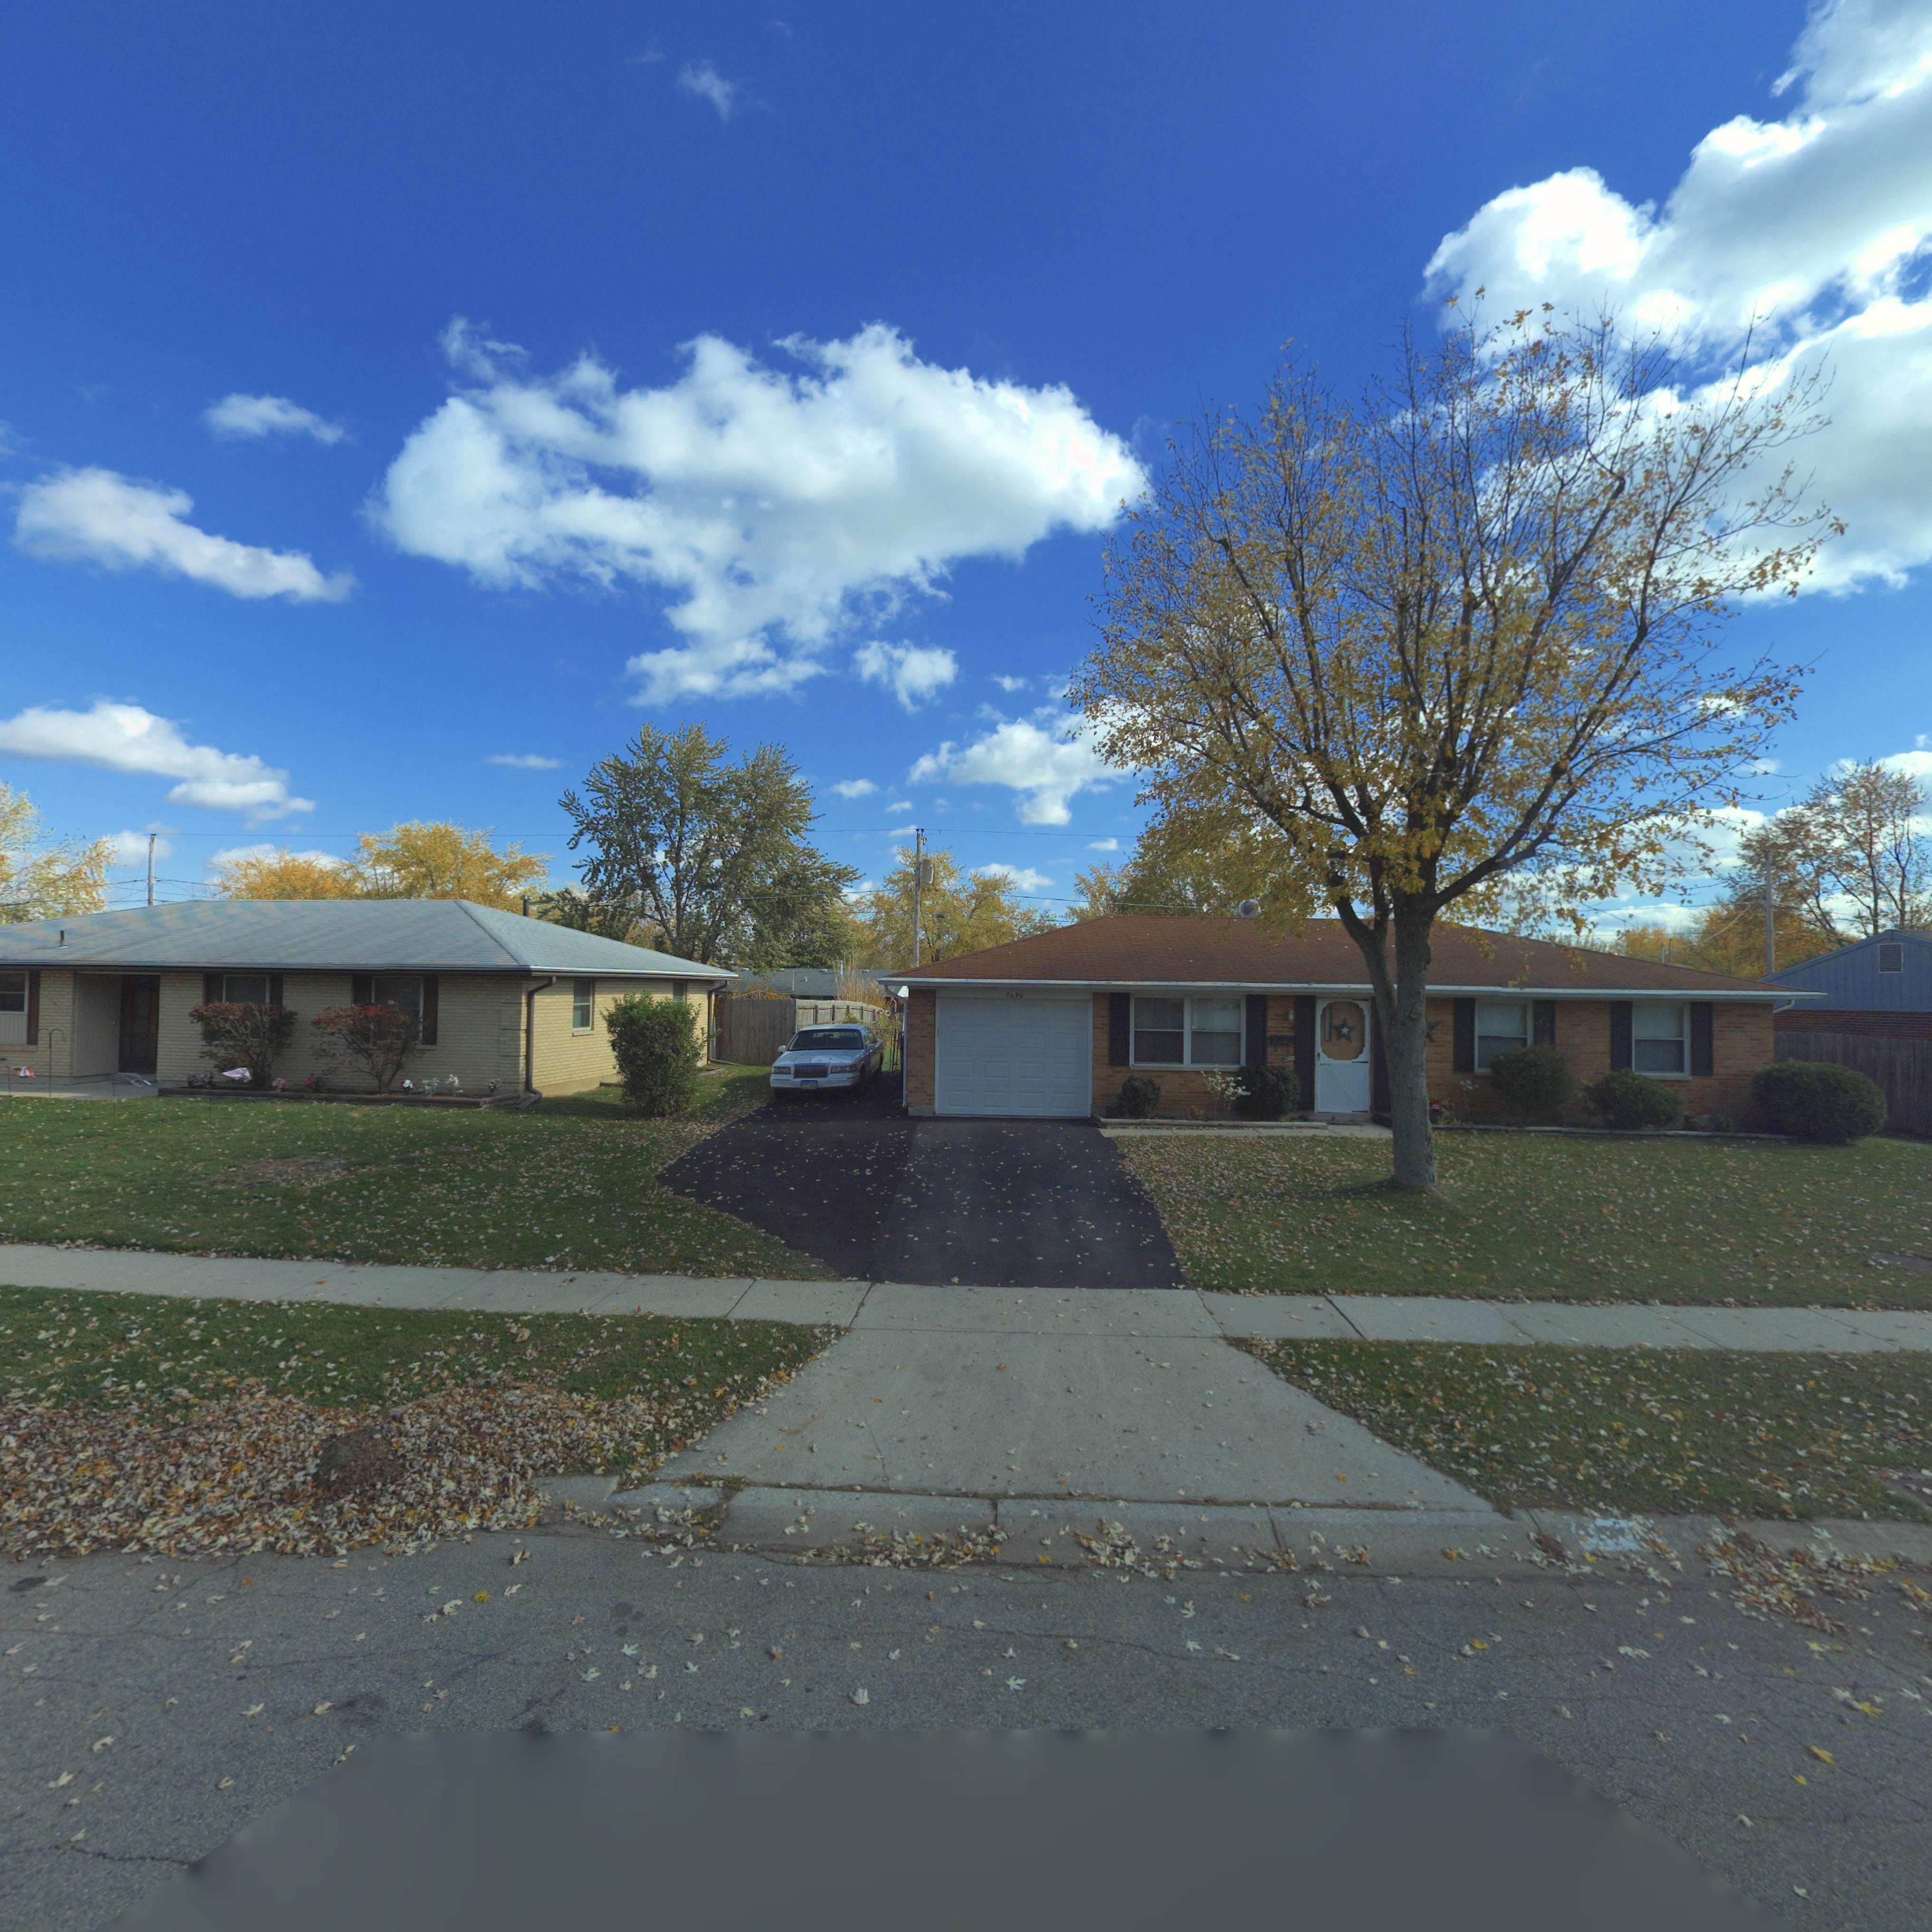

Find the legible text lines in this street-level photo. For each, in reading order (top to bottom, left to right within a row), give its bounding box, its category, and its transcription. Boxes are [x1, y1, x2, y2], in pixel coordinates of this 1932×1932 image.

[43, 995, 62, 1011] StreetNumber: 7*00
[1005, 992, 1024, 998] StreetNumber: 7*90